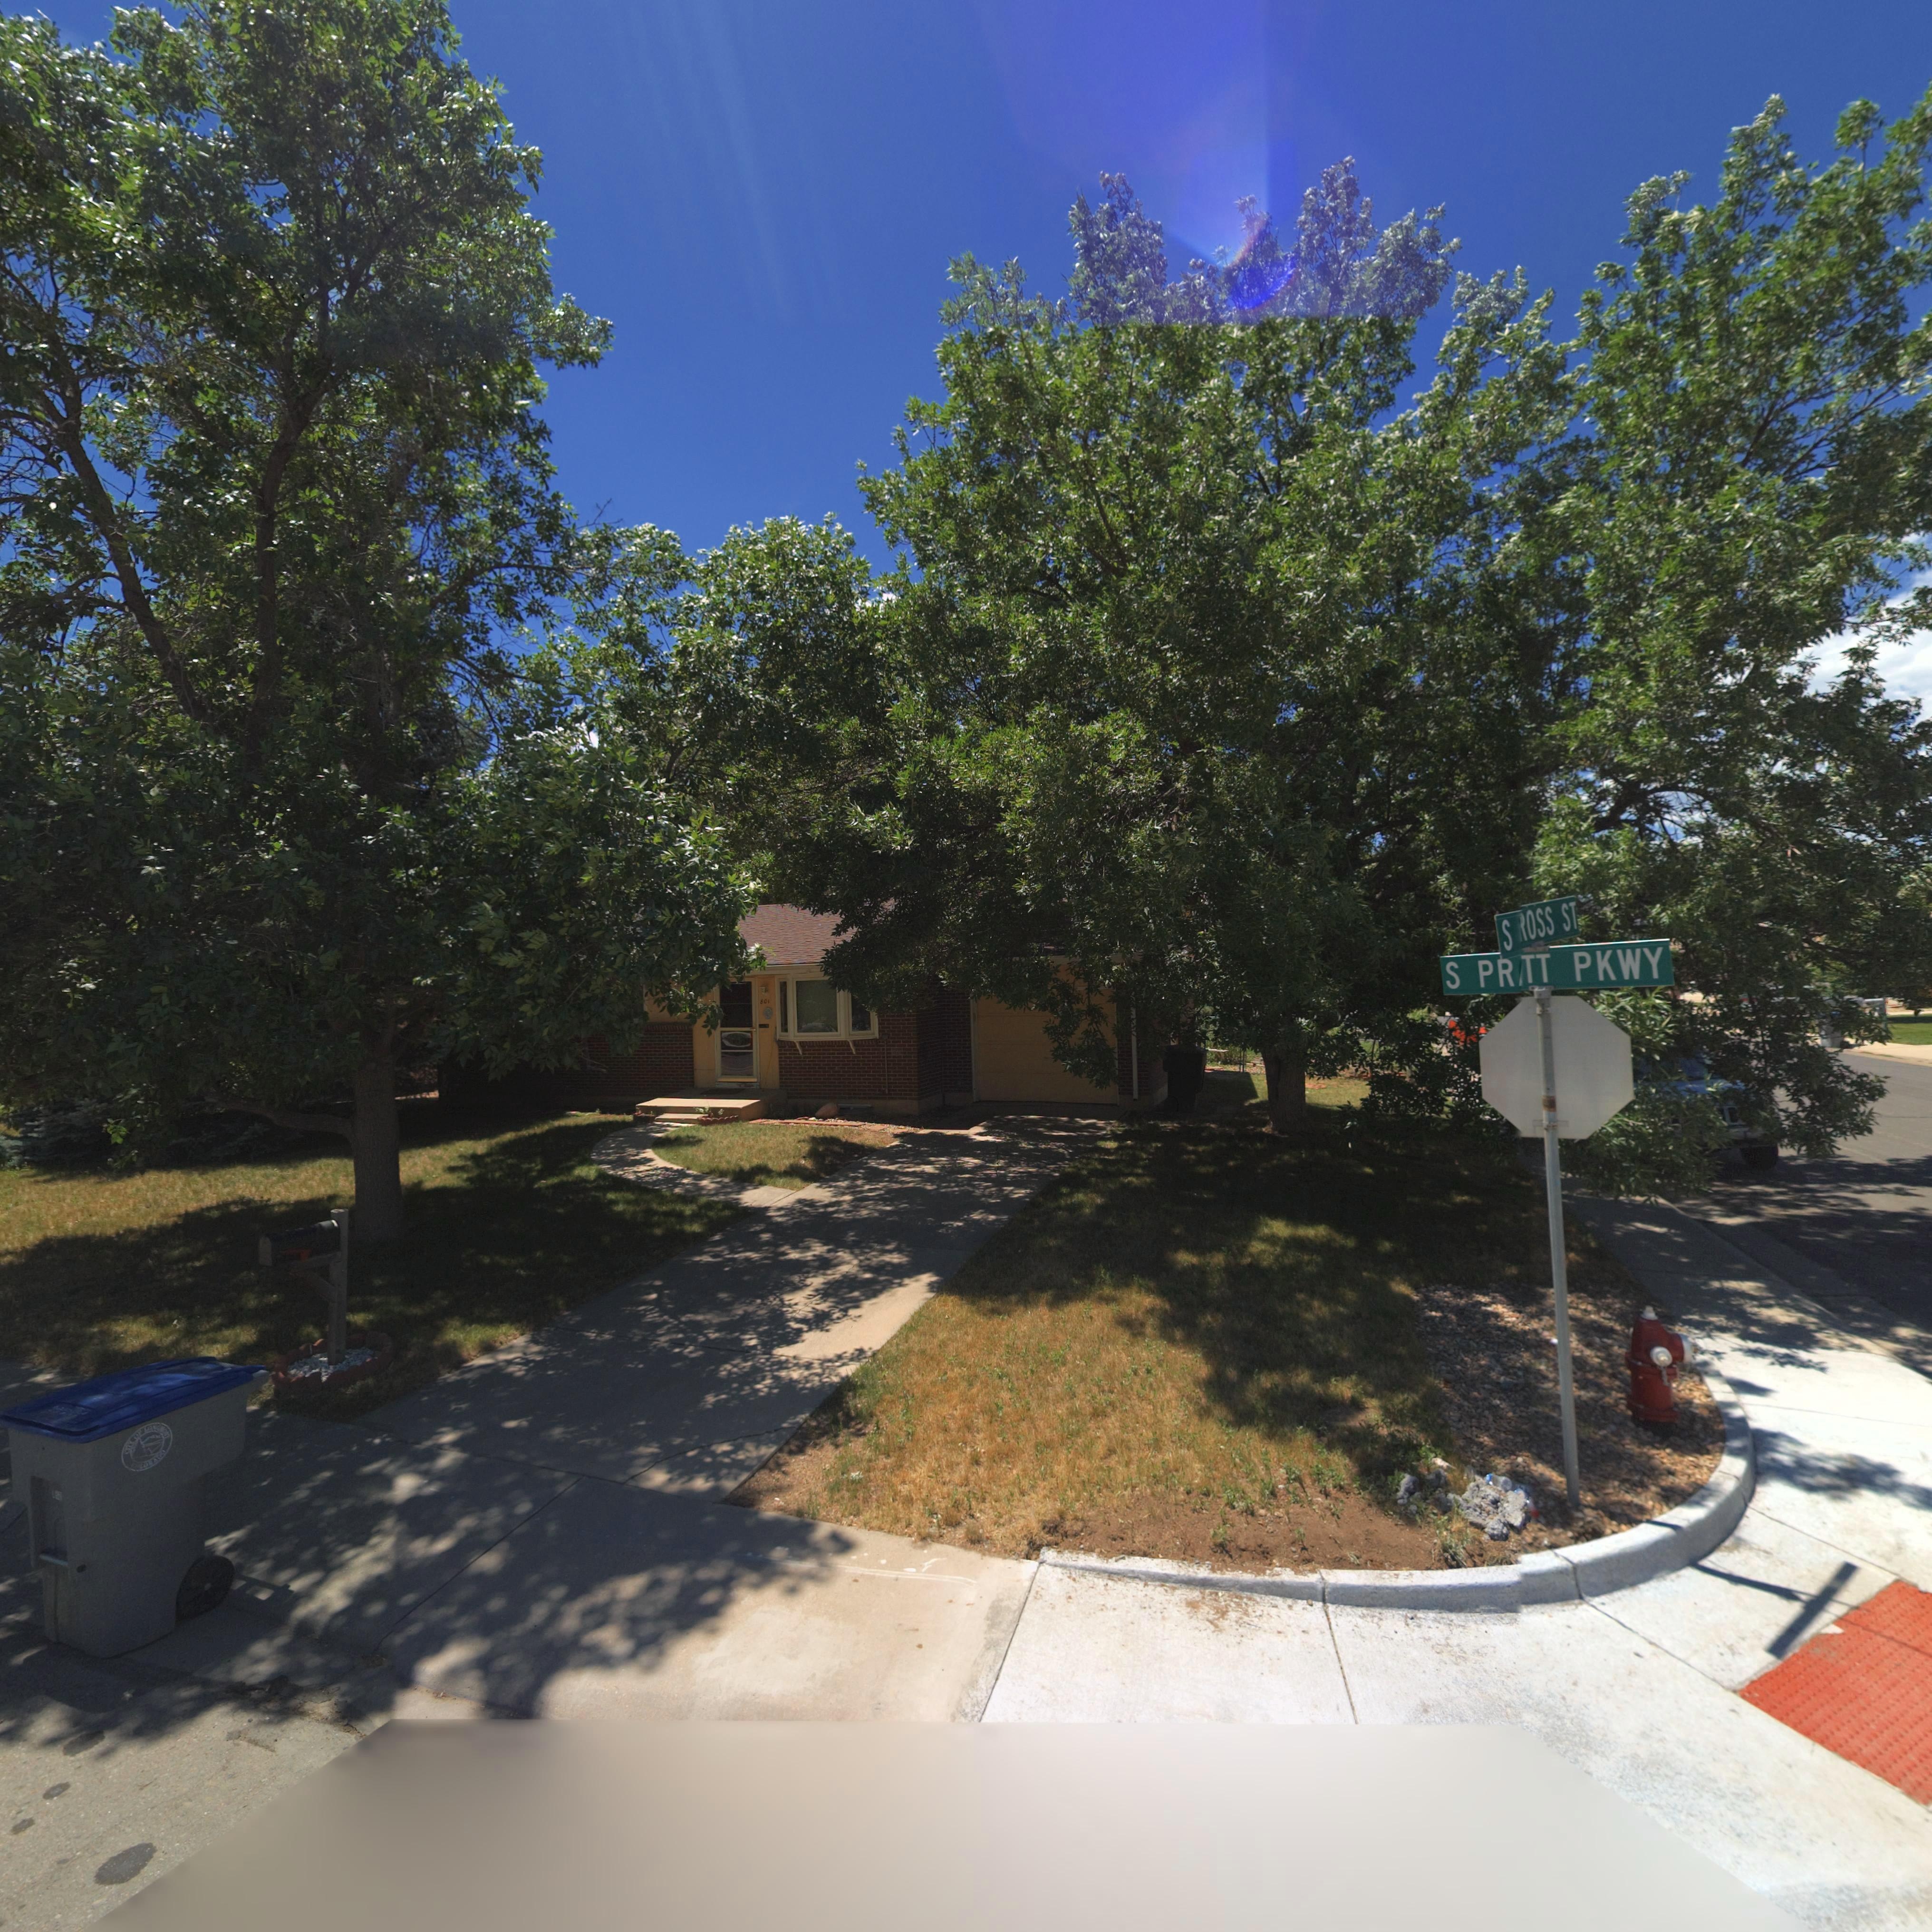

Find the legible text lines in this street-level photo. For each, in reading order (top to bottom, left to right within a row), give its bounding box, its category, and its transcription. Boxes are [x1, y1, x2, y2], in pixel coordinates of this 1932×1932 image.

[1500, 901, 1578, 952] StreetName: S ROSS ST
[1444, 945, 1665, 990] StreetName: S PR*TT PKWY
[759, 998, 769, 1005] StreetNumber: 801